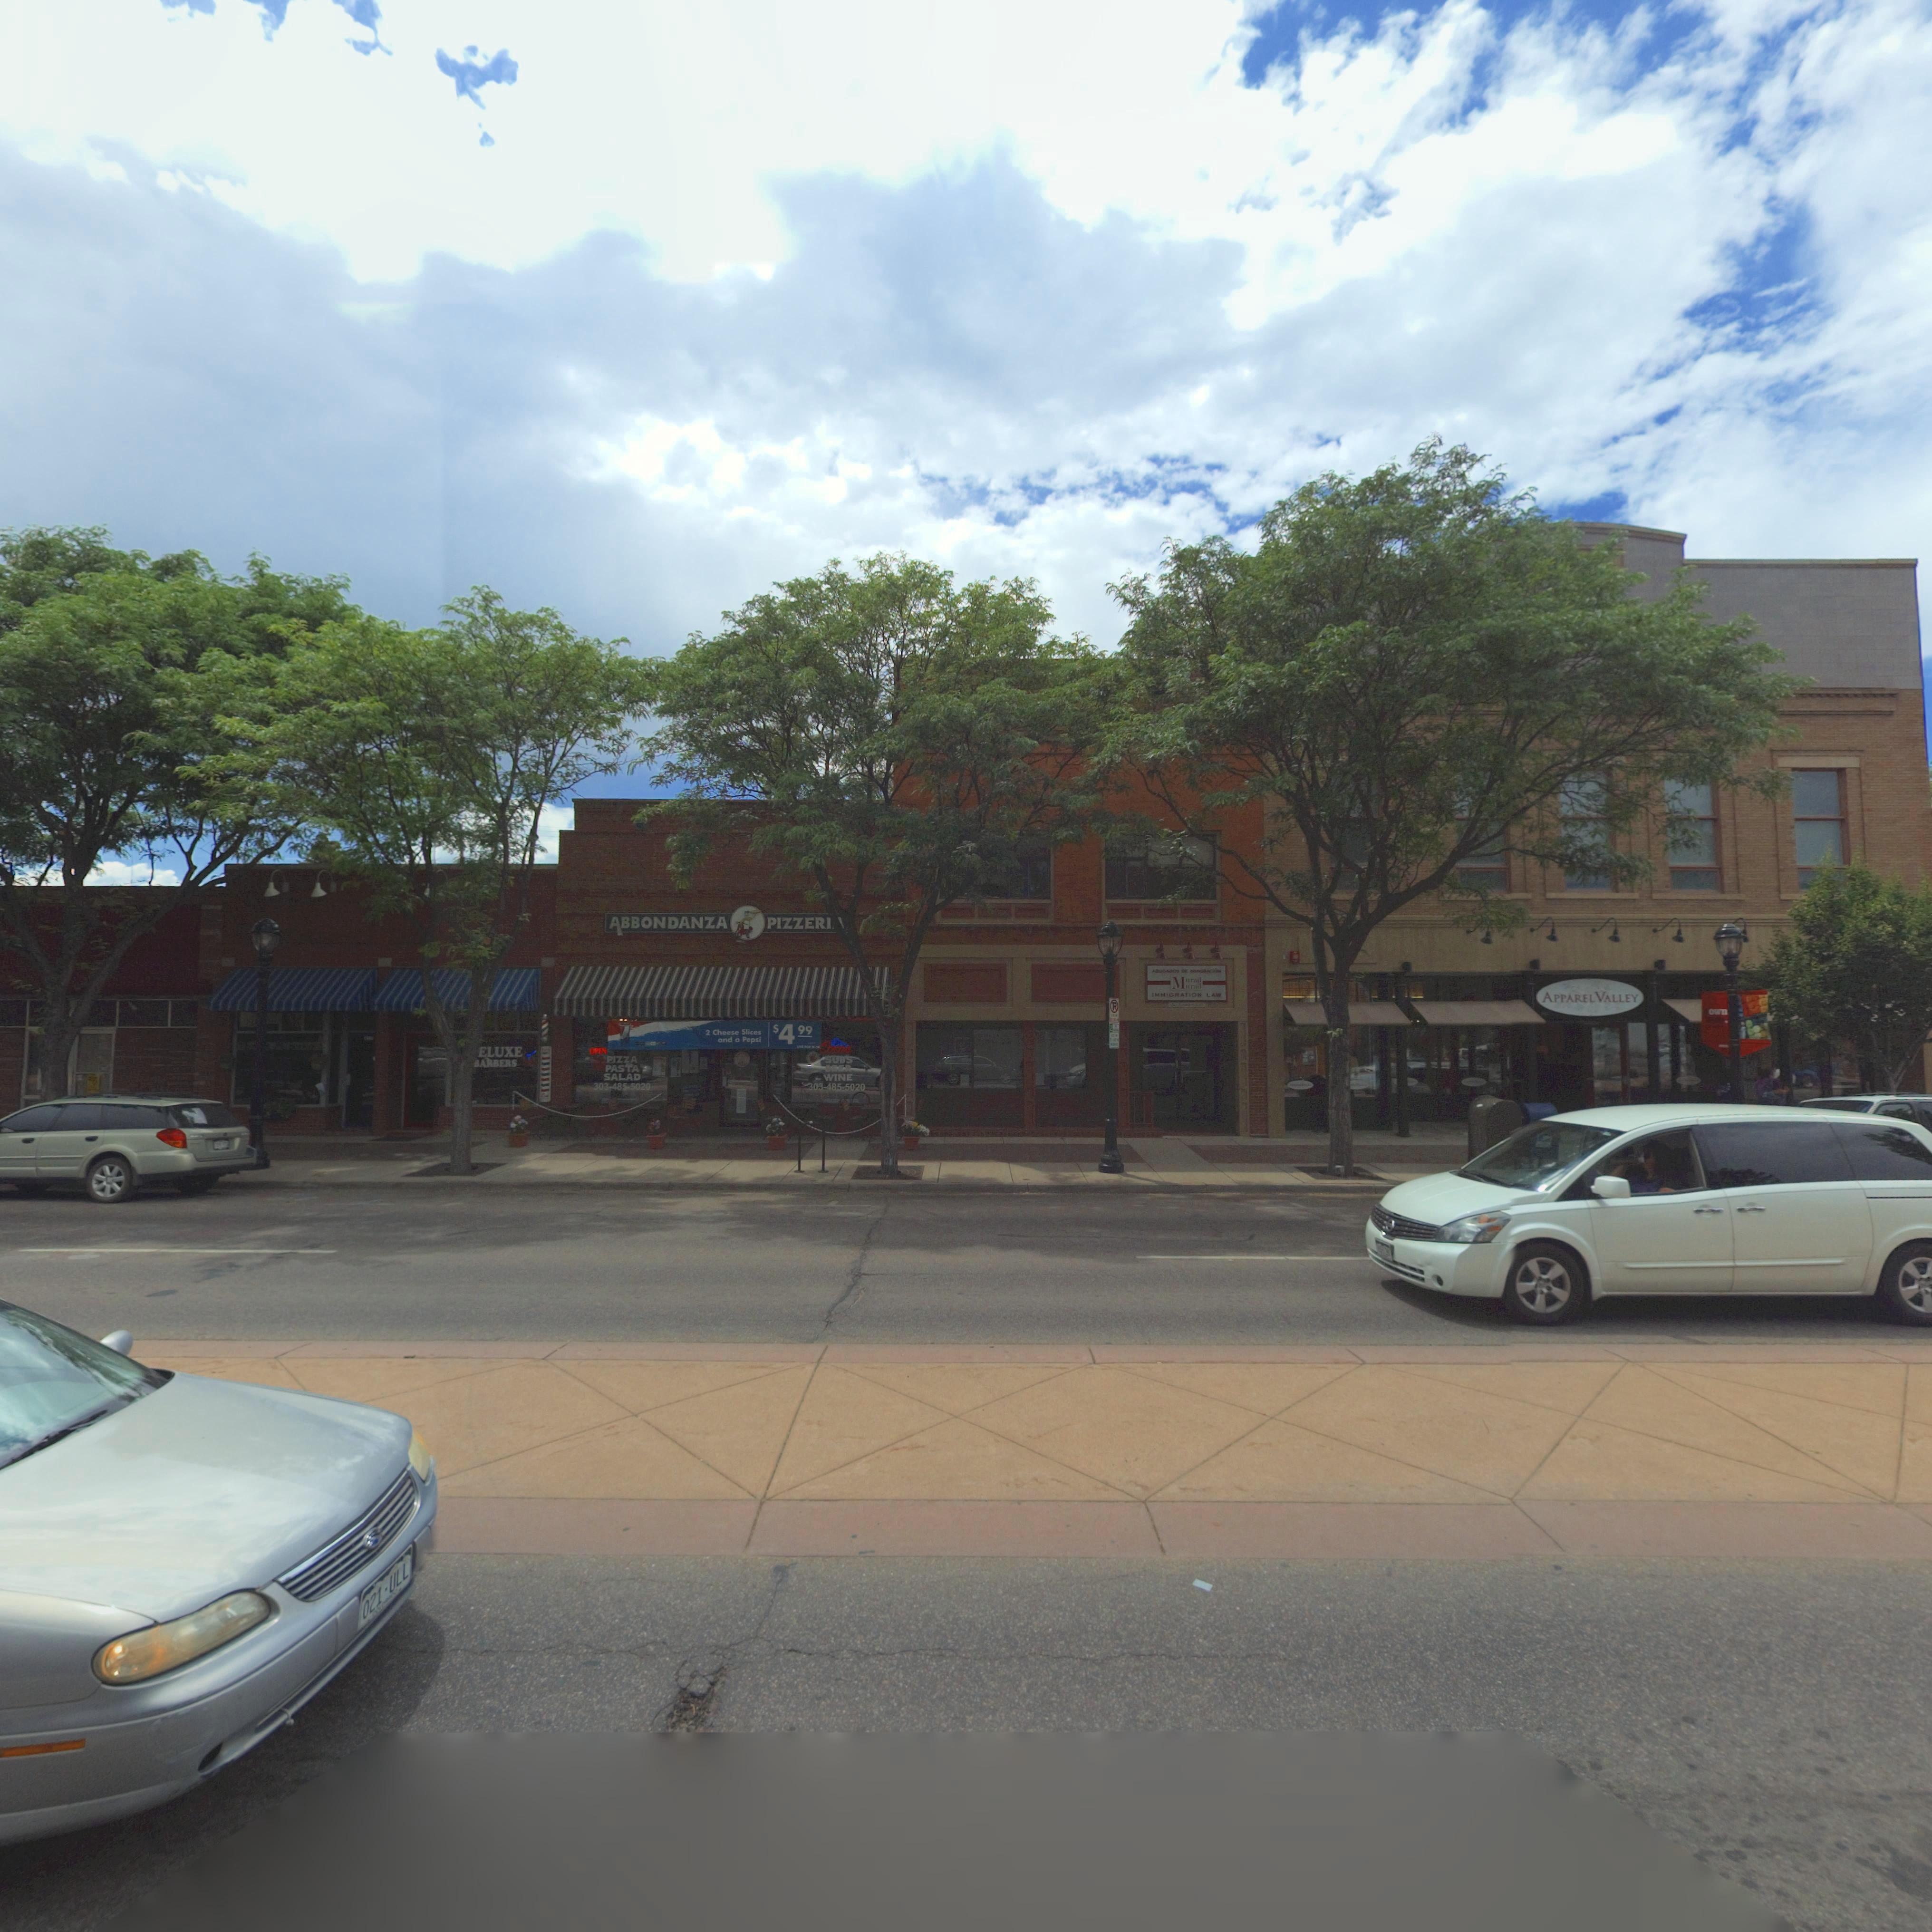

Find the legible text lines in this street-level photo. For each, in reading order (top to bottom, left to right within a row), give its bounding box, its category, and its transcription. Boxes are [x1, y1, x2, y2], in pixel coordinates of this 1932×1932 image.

[608, 915, 846, 936] BusinessName: ABBONDANZA PIZZERI*
[1185, 976, 1201, 983] BusinessName: *urad
[1185, 983, 1201, 989] BusinessName: *urad
[1542, 990, 1640, 1003] StreetNumber: APPAREL VALLEY
[478, 1045, 523, 1058] BusinessName: *ELUXE
[473, 1058, 517, 1068] BusinessName: BARBERS